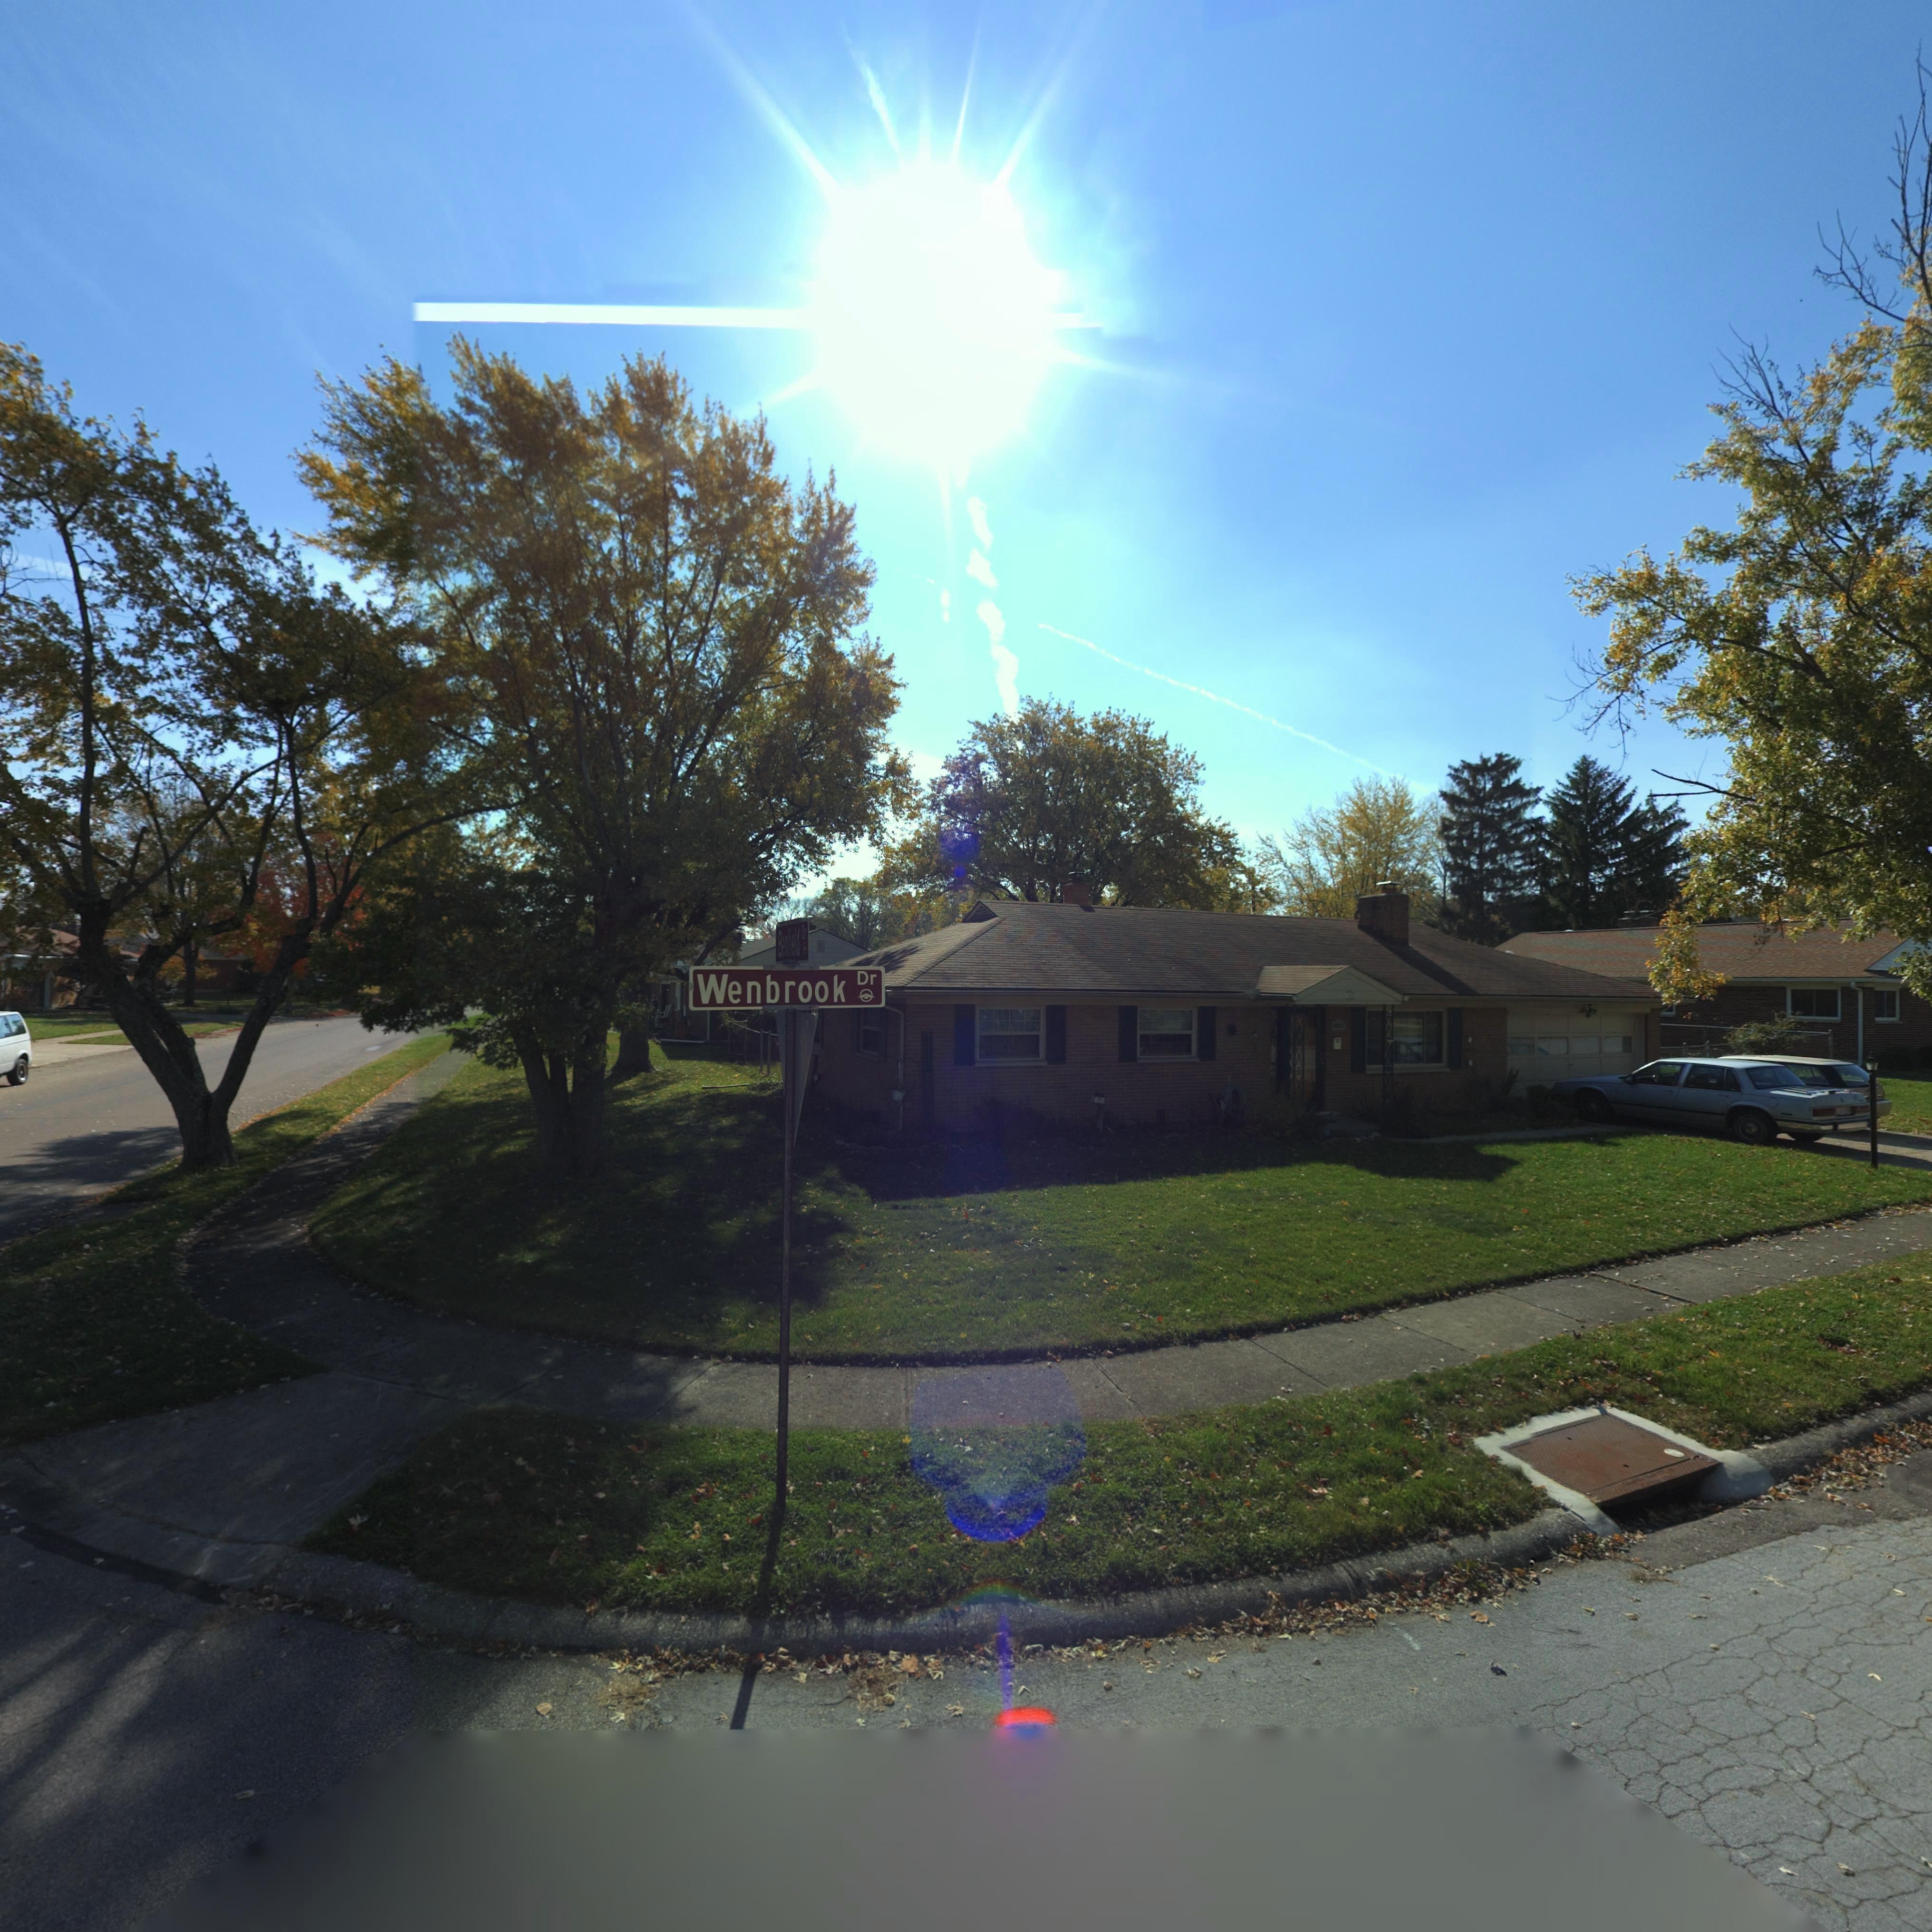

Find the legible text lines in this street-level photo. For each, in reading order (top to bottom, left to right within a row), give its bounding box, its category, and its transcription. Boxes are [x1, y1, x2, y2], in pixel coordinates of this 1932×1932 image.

[777, 924, 807, 958] StreetName: Benfield Dr
[696, 970, 879, 1005] StreetName: Wenbrook Dr
[1346, 994, 1353, 998] StreetNumber: 1142